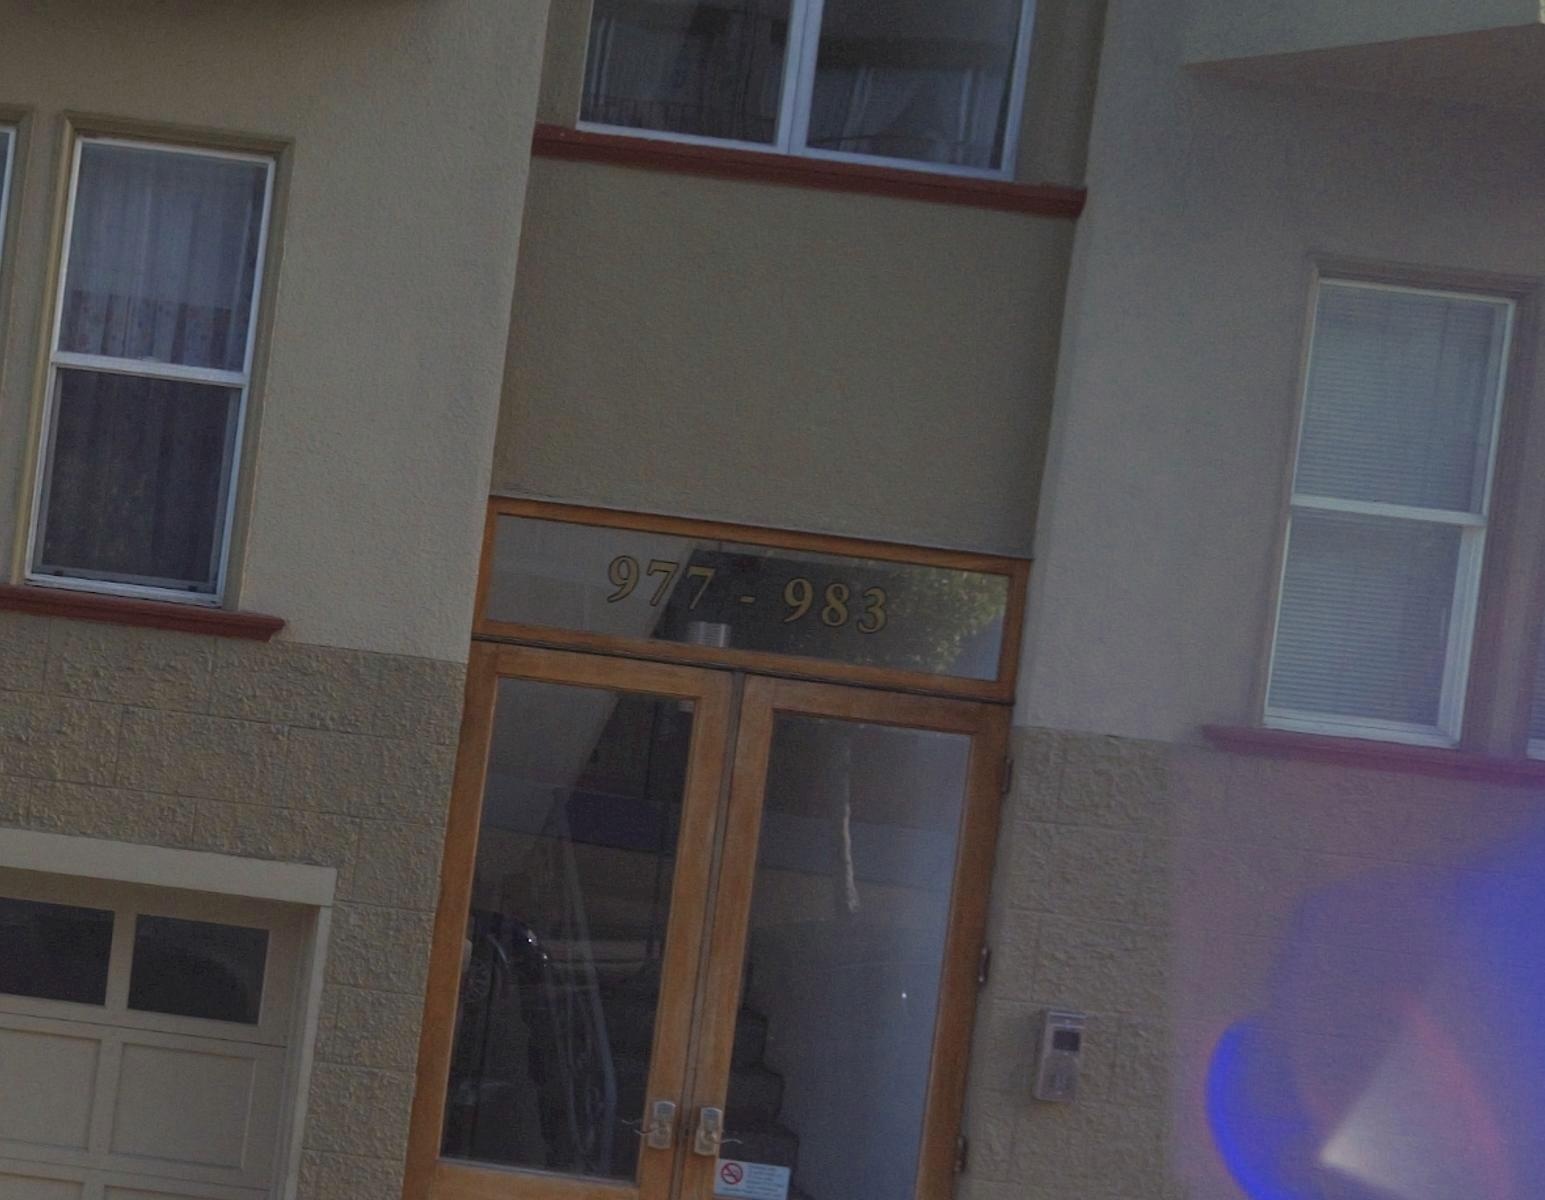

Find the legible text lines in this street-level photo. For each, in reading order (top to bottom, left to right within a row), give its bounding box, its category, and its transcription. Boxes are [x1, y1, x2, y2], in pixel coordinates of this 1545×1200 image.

[598, 549, 894, 639] StreetNumber: 977-983